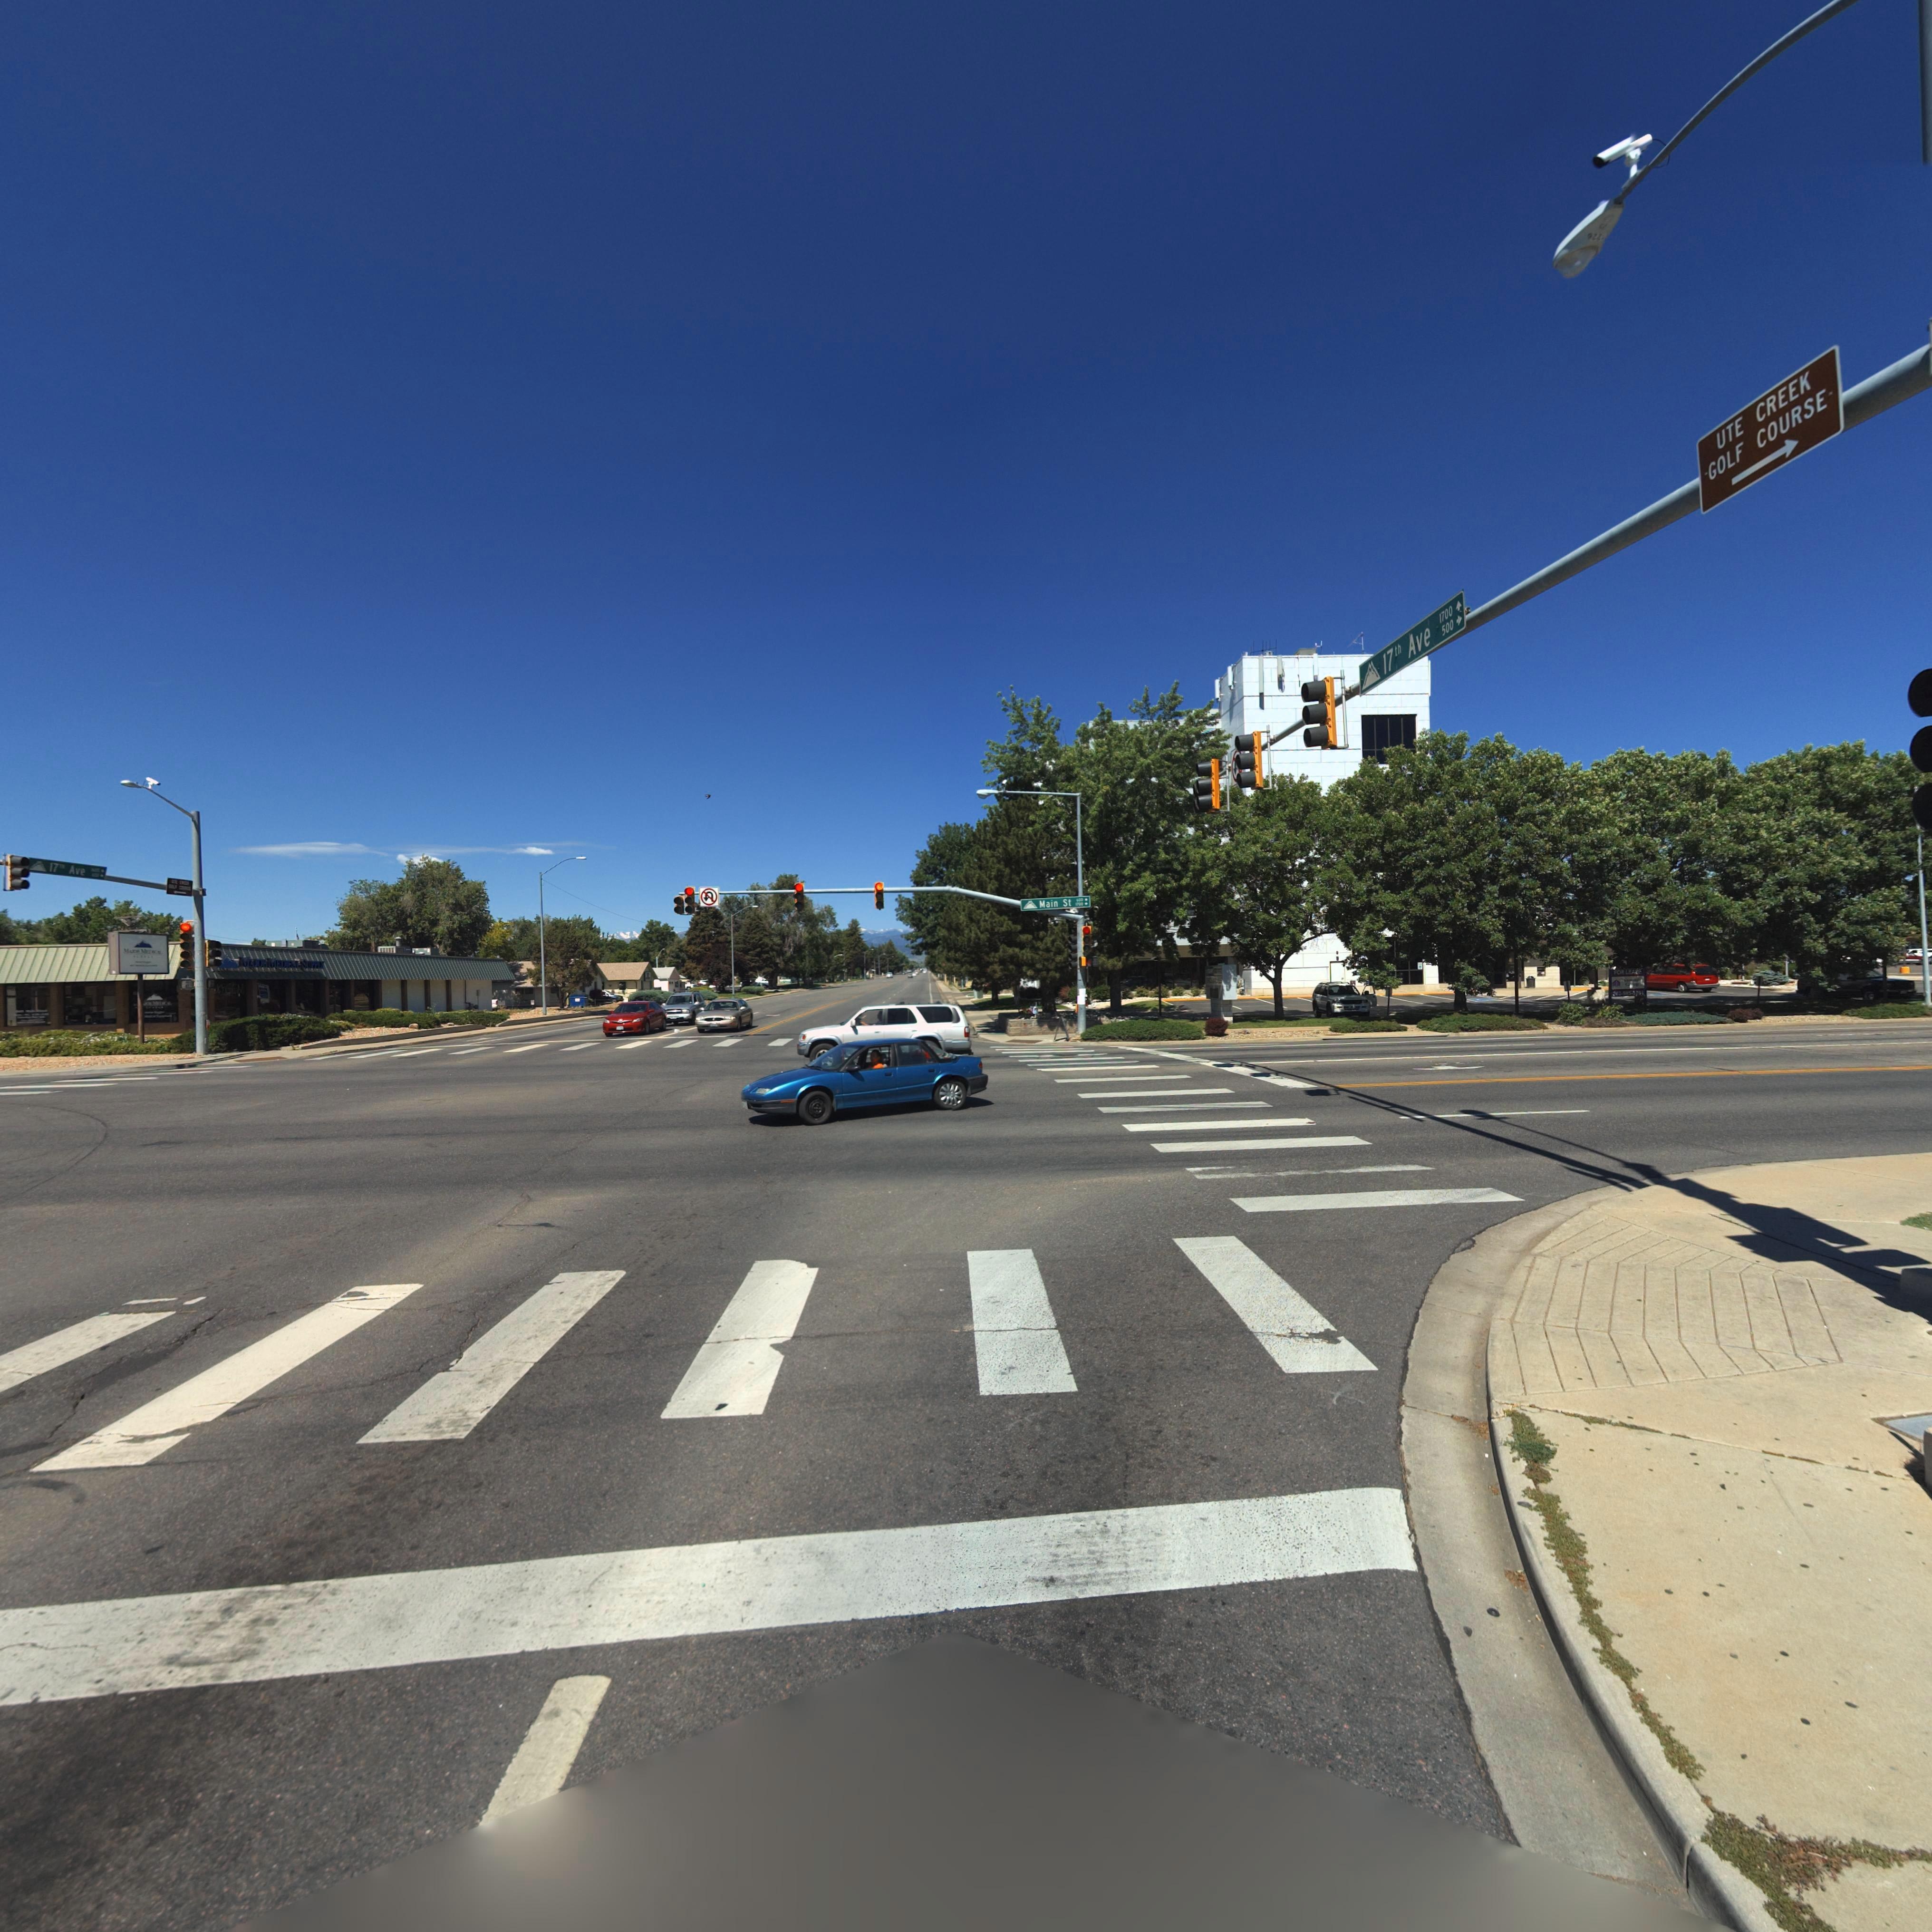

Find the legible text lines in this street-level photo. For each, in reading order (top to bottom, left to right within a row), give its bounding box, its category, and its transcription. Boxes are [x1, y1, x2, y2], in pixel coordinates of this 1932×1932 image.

[1439, 605, 1453, 624] StreetNumberRange: 1700
[1441, 615, 1462, 637] StreetNumberRange: 500->
[1382, 627, 1431, 675] StreetName: 17th Ave
[49, 862, 86, 876] StreetName: 17** Ave
[91, 872, 104, 878] StreetNumberRange: **0->
[1039, 898, 1072, 908] StreetName: Main St
[1076, 898, 1083, 902] StreetNumberRange: 100
[1074, 902, 1088, 906] StreetNumberRange: **00 ->
[122, 948, 162, 954] BusinessName: MA*** M******
[133, 955, 154, 958] BusinessName: S*****
[239, 956, 326, 969] BusinessName: MAJOR MEDICAL SUPP*Y
[142, 1001, 172, 1005] StreetName: JOR M******